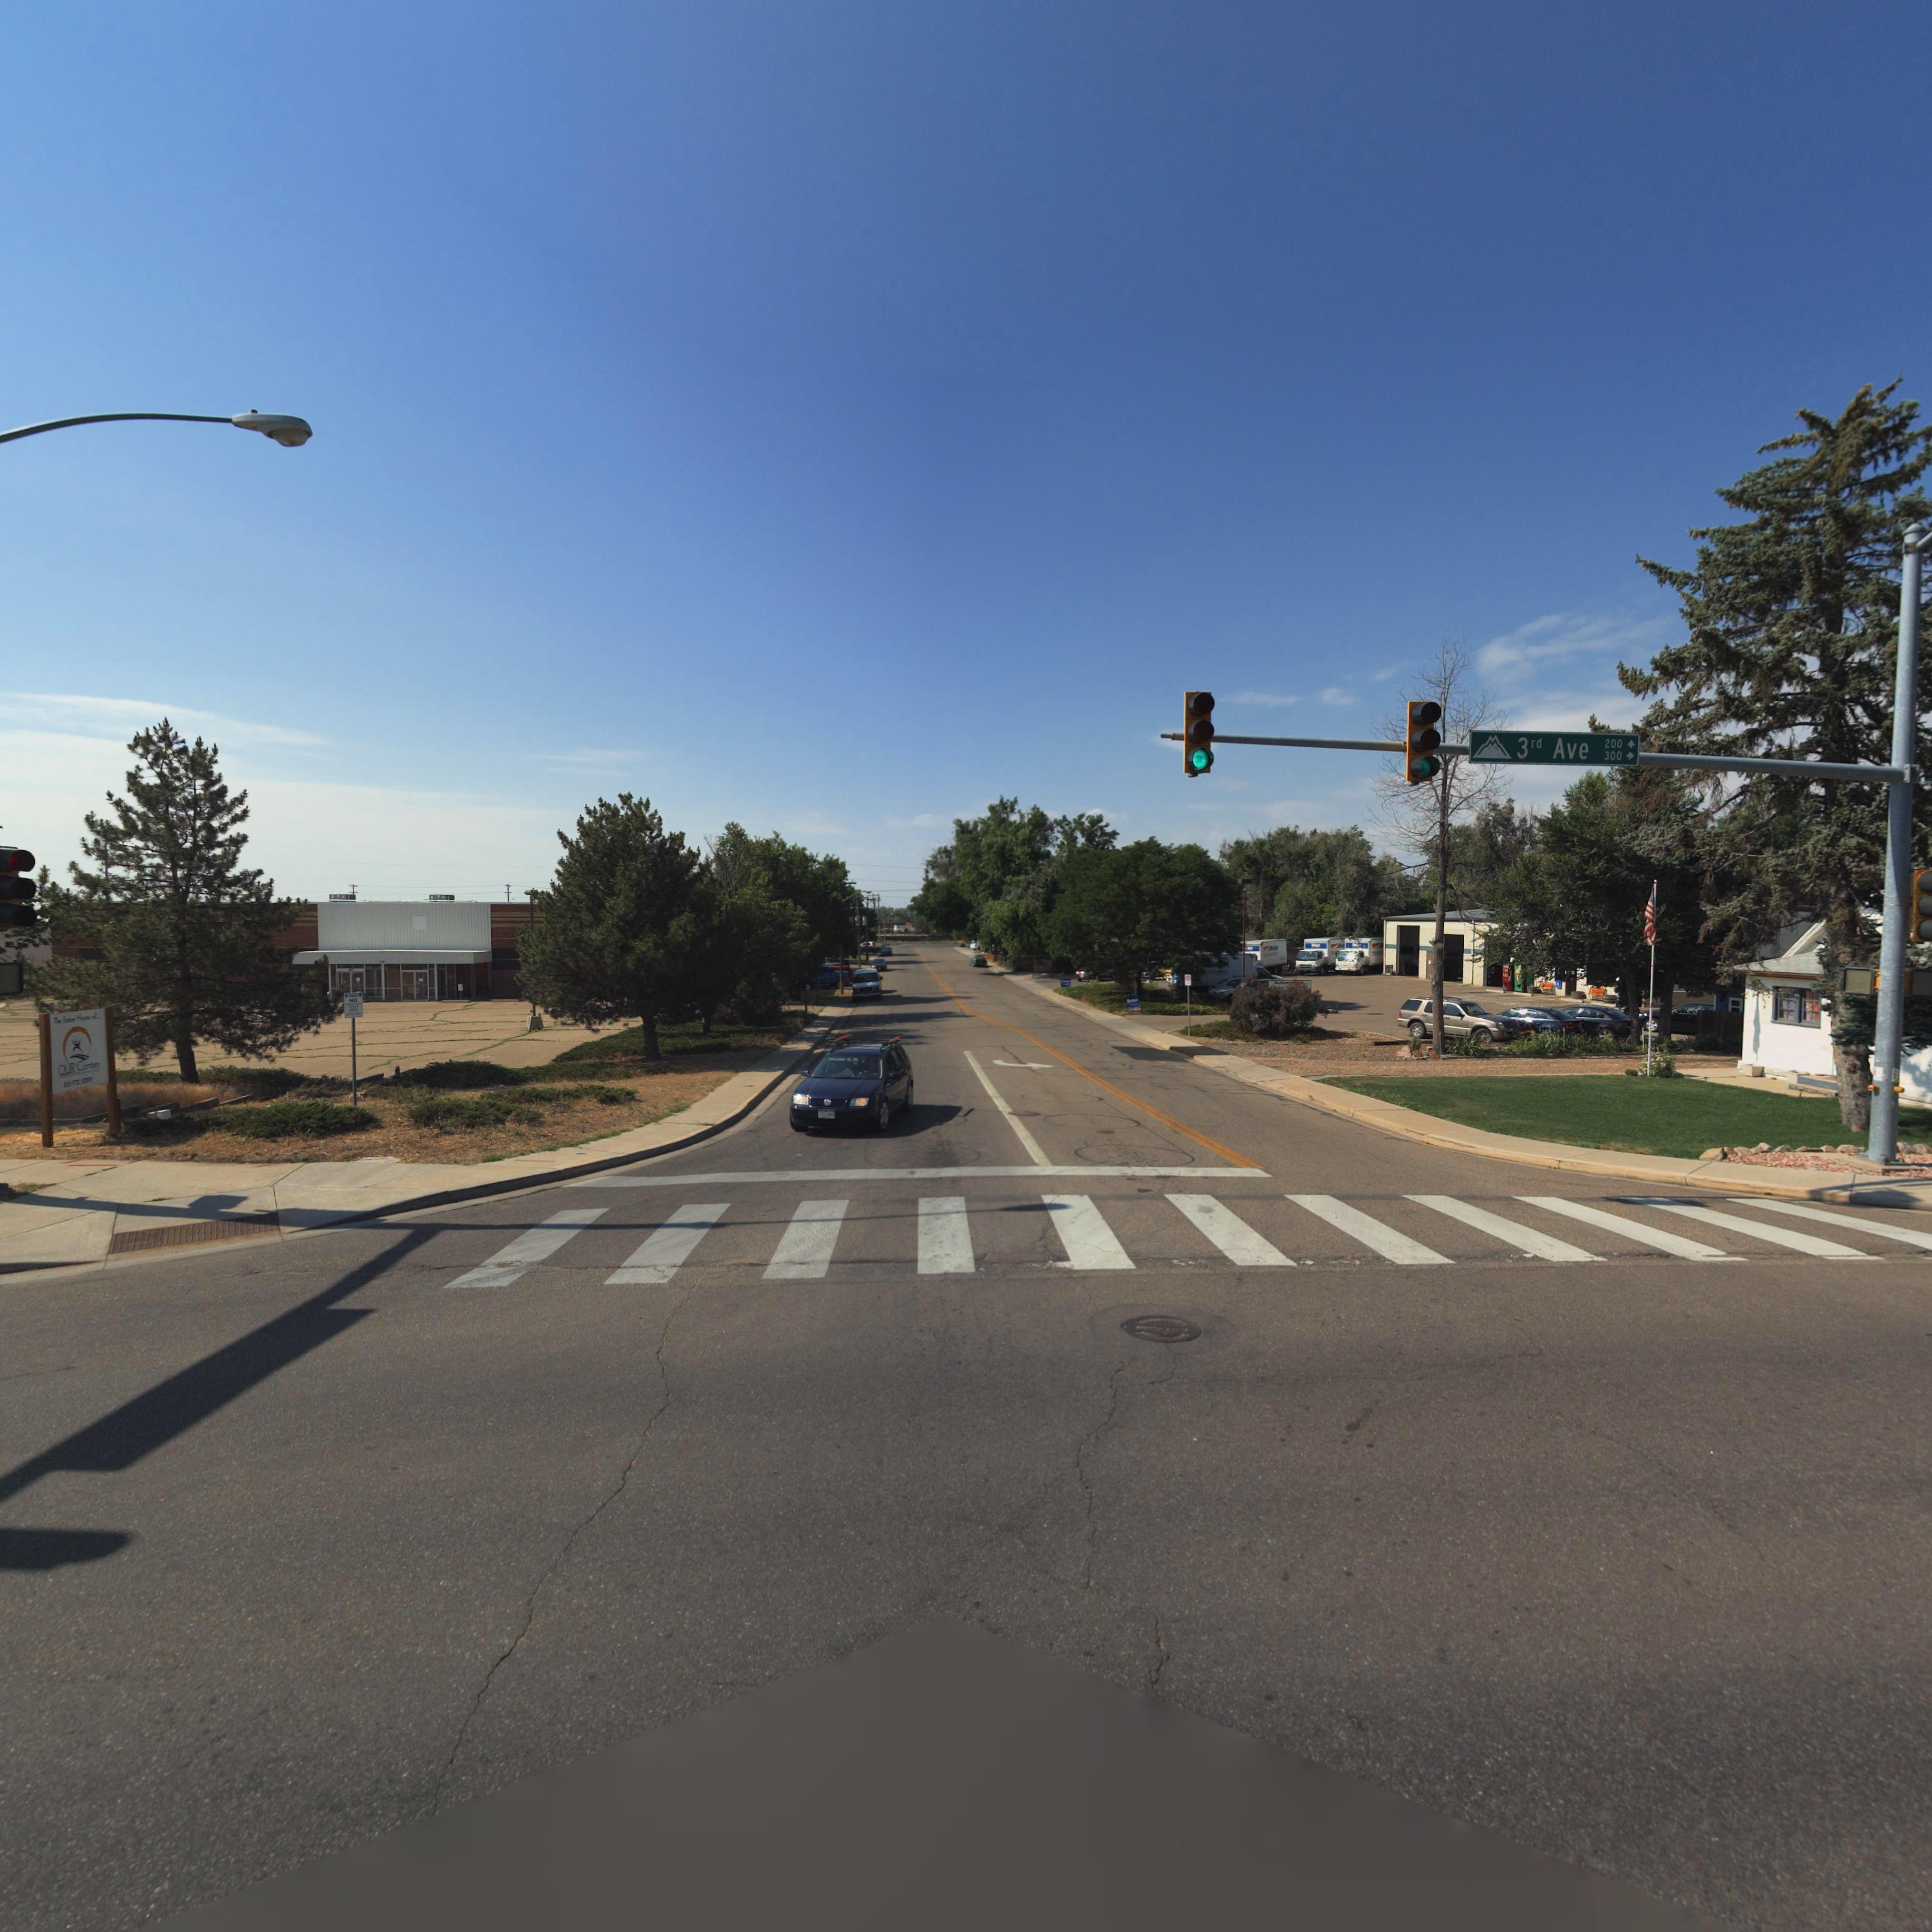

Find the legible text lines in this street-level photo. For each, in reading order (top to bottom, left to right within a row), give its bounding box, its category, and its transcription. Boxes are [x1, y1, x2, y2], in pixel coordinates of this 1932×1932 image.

[1516, 735, 1590, 761] StreetName: 3rd Ave
[1604, 738, 1623, 749] StreetNumberRange: 200
[1603, 750, 1636, 761] StreetNumberRange: 300->
[57, 1060, 100, 1075] BusinessName: OUR Center